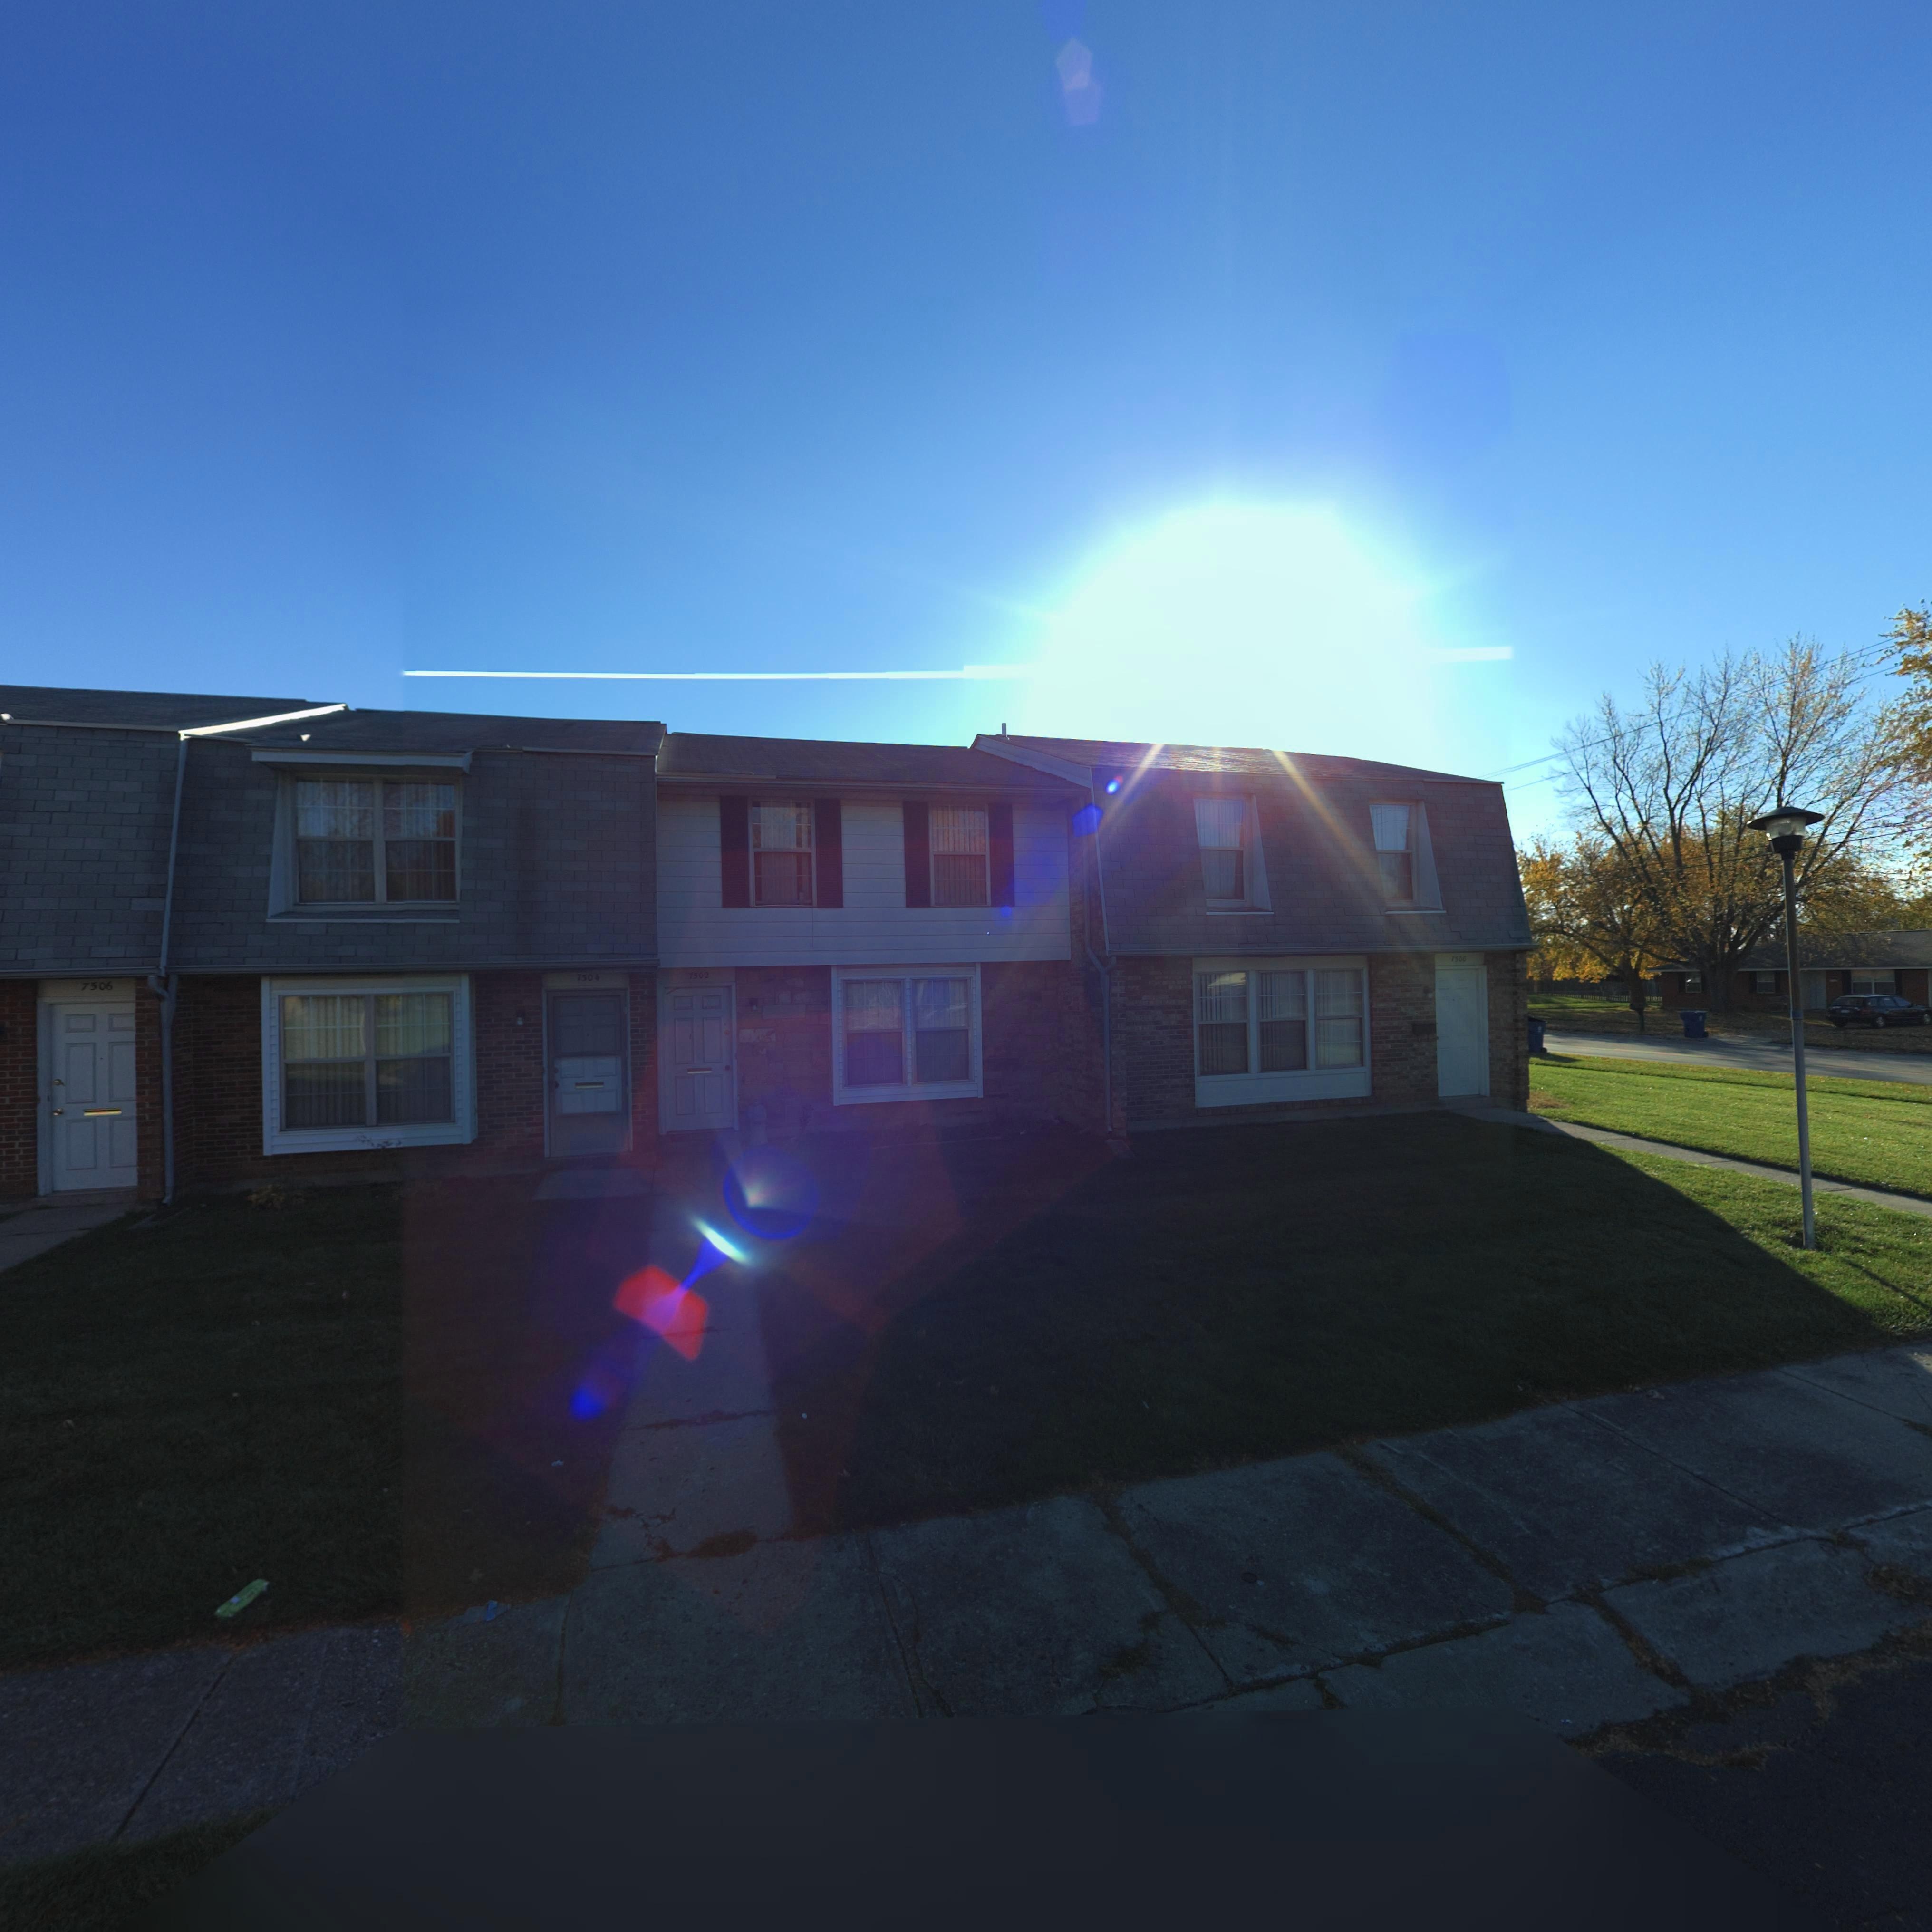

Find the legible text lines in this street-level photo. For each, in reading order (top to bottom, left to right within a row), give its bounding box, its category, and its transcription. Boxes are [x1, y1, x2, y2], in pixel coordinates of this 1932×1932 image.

[1450, 955, 1468, 963] StreetNumber: *500
[575, 972, 601, 984] StreetNumber: 7504
[688, 971, 711, 981] StreetNumber: 7502
[79, 980, 114, 992] StreetNumber: 7506